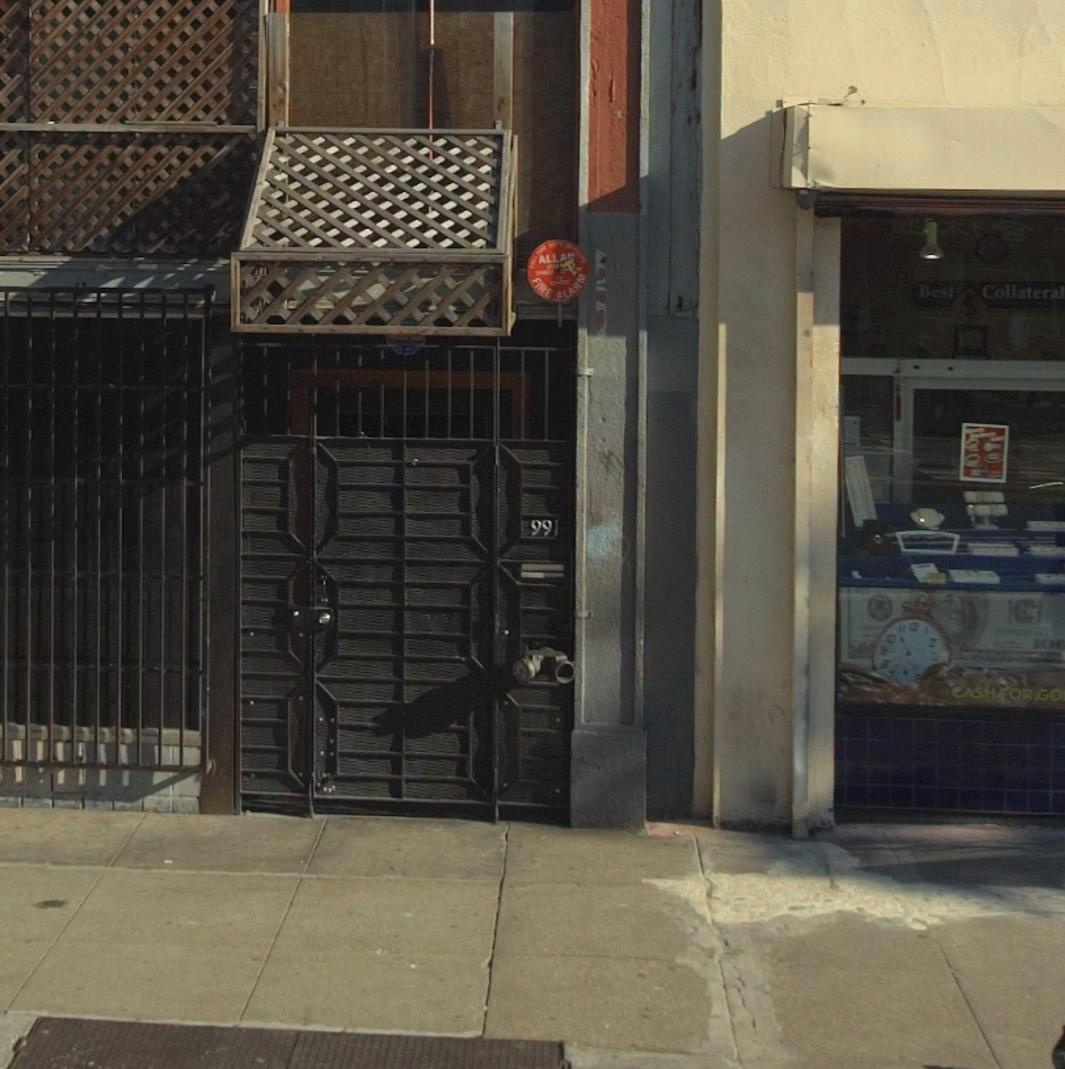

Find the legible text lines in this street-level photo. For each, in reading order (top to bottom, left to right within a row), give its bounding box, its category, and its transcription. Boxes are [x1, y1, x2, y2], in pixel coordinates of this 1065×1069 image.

[537, 251, 576, 265] None: ALLA*
[528, 272, 589, 301] None: FIRE ALARM
[918, 282, 1065, 300] None: Best Collateral
[528, 517, 555, 539] StreetNumber: 99
[949, 684, 1063, 702] None: CASH FOR GO